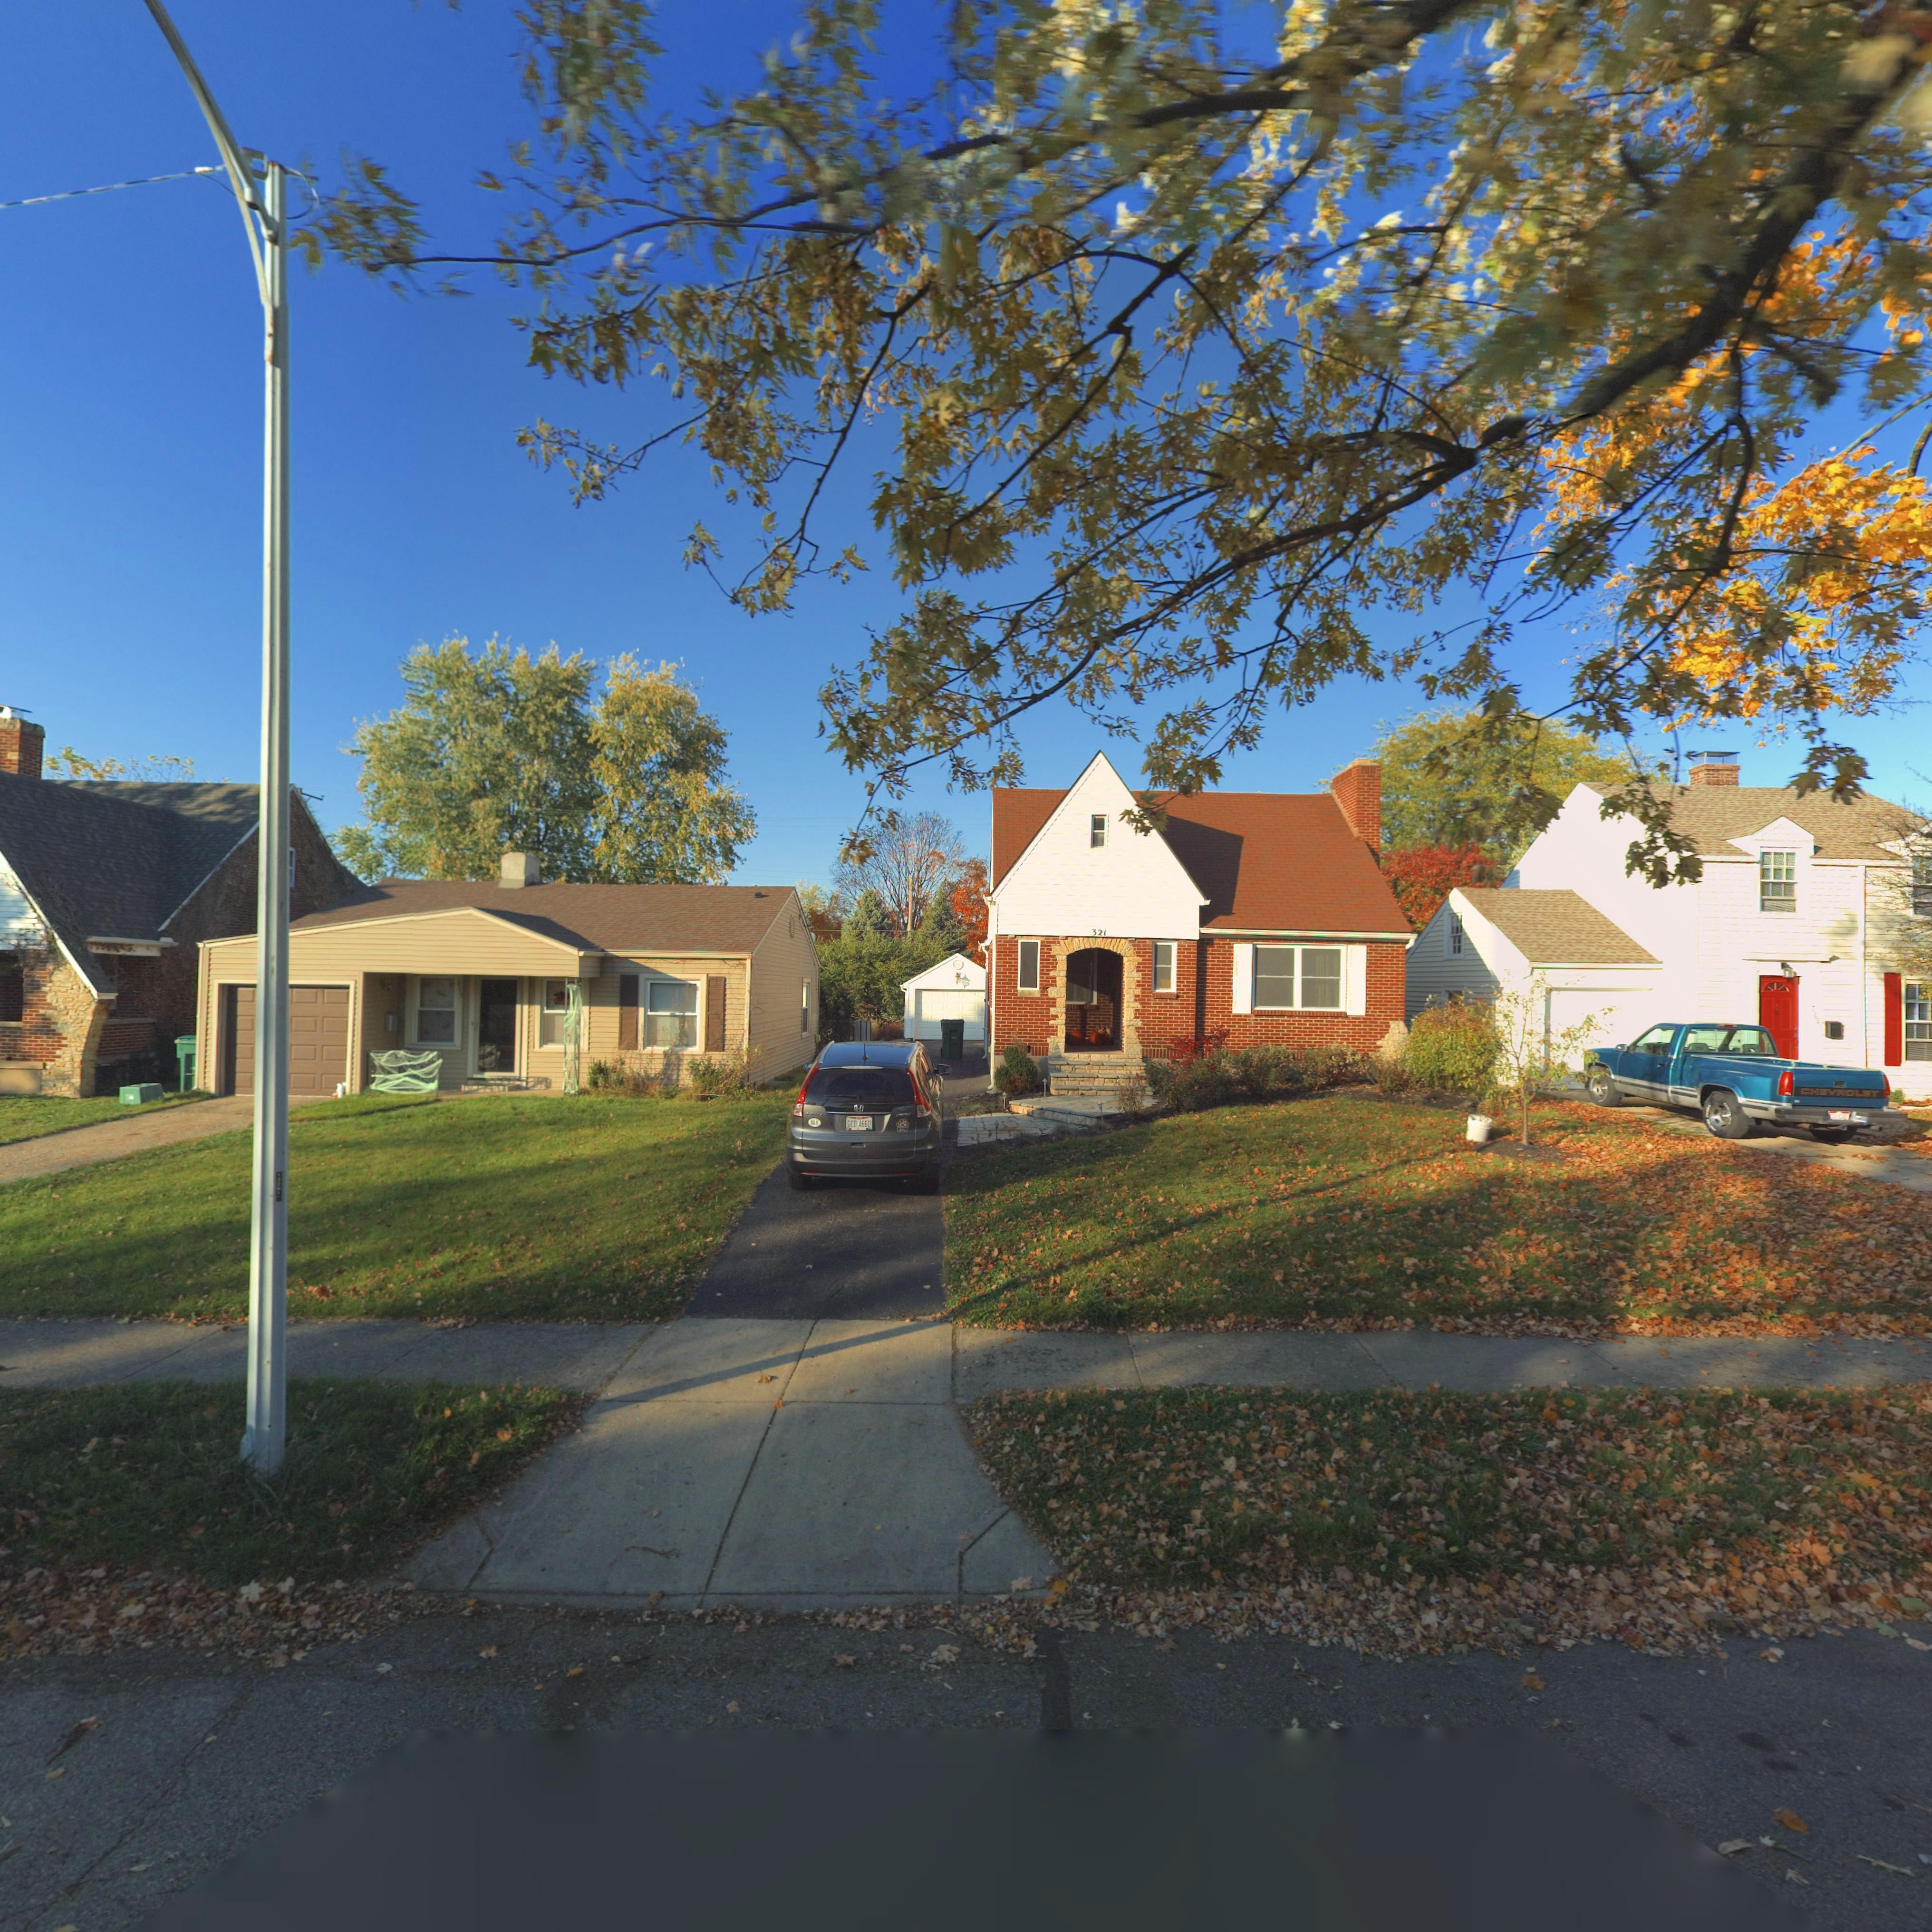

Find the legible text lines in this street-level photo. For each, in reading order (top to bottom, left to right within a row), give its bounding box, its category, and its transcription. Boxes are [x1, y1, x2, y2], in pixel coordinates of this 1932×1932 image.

[1091, 927, 1108, 937] StreetNumber: 321